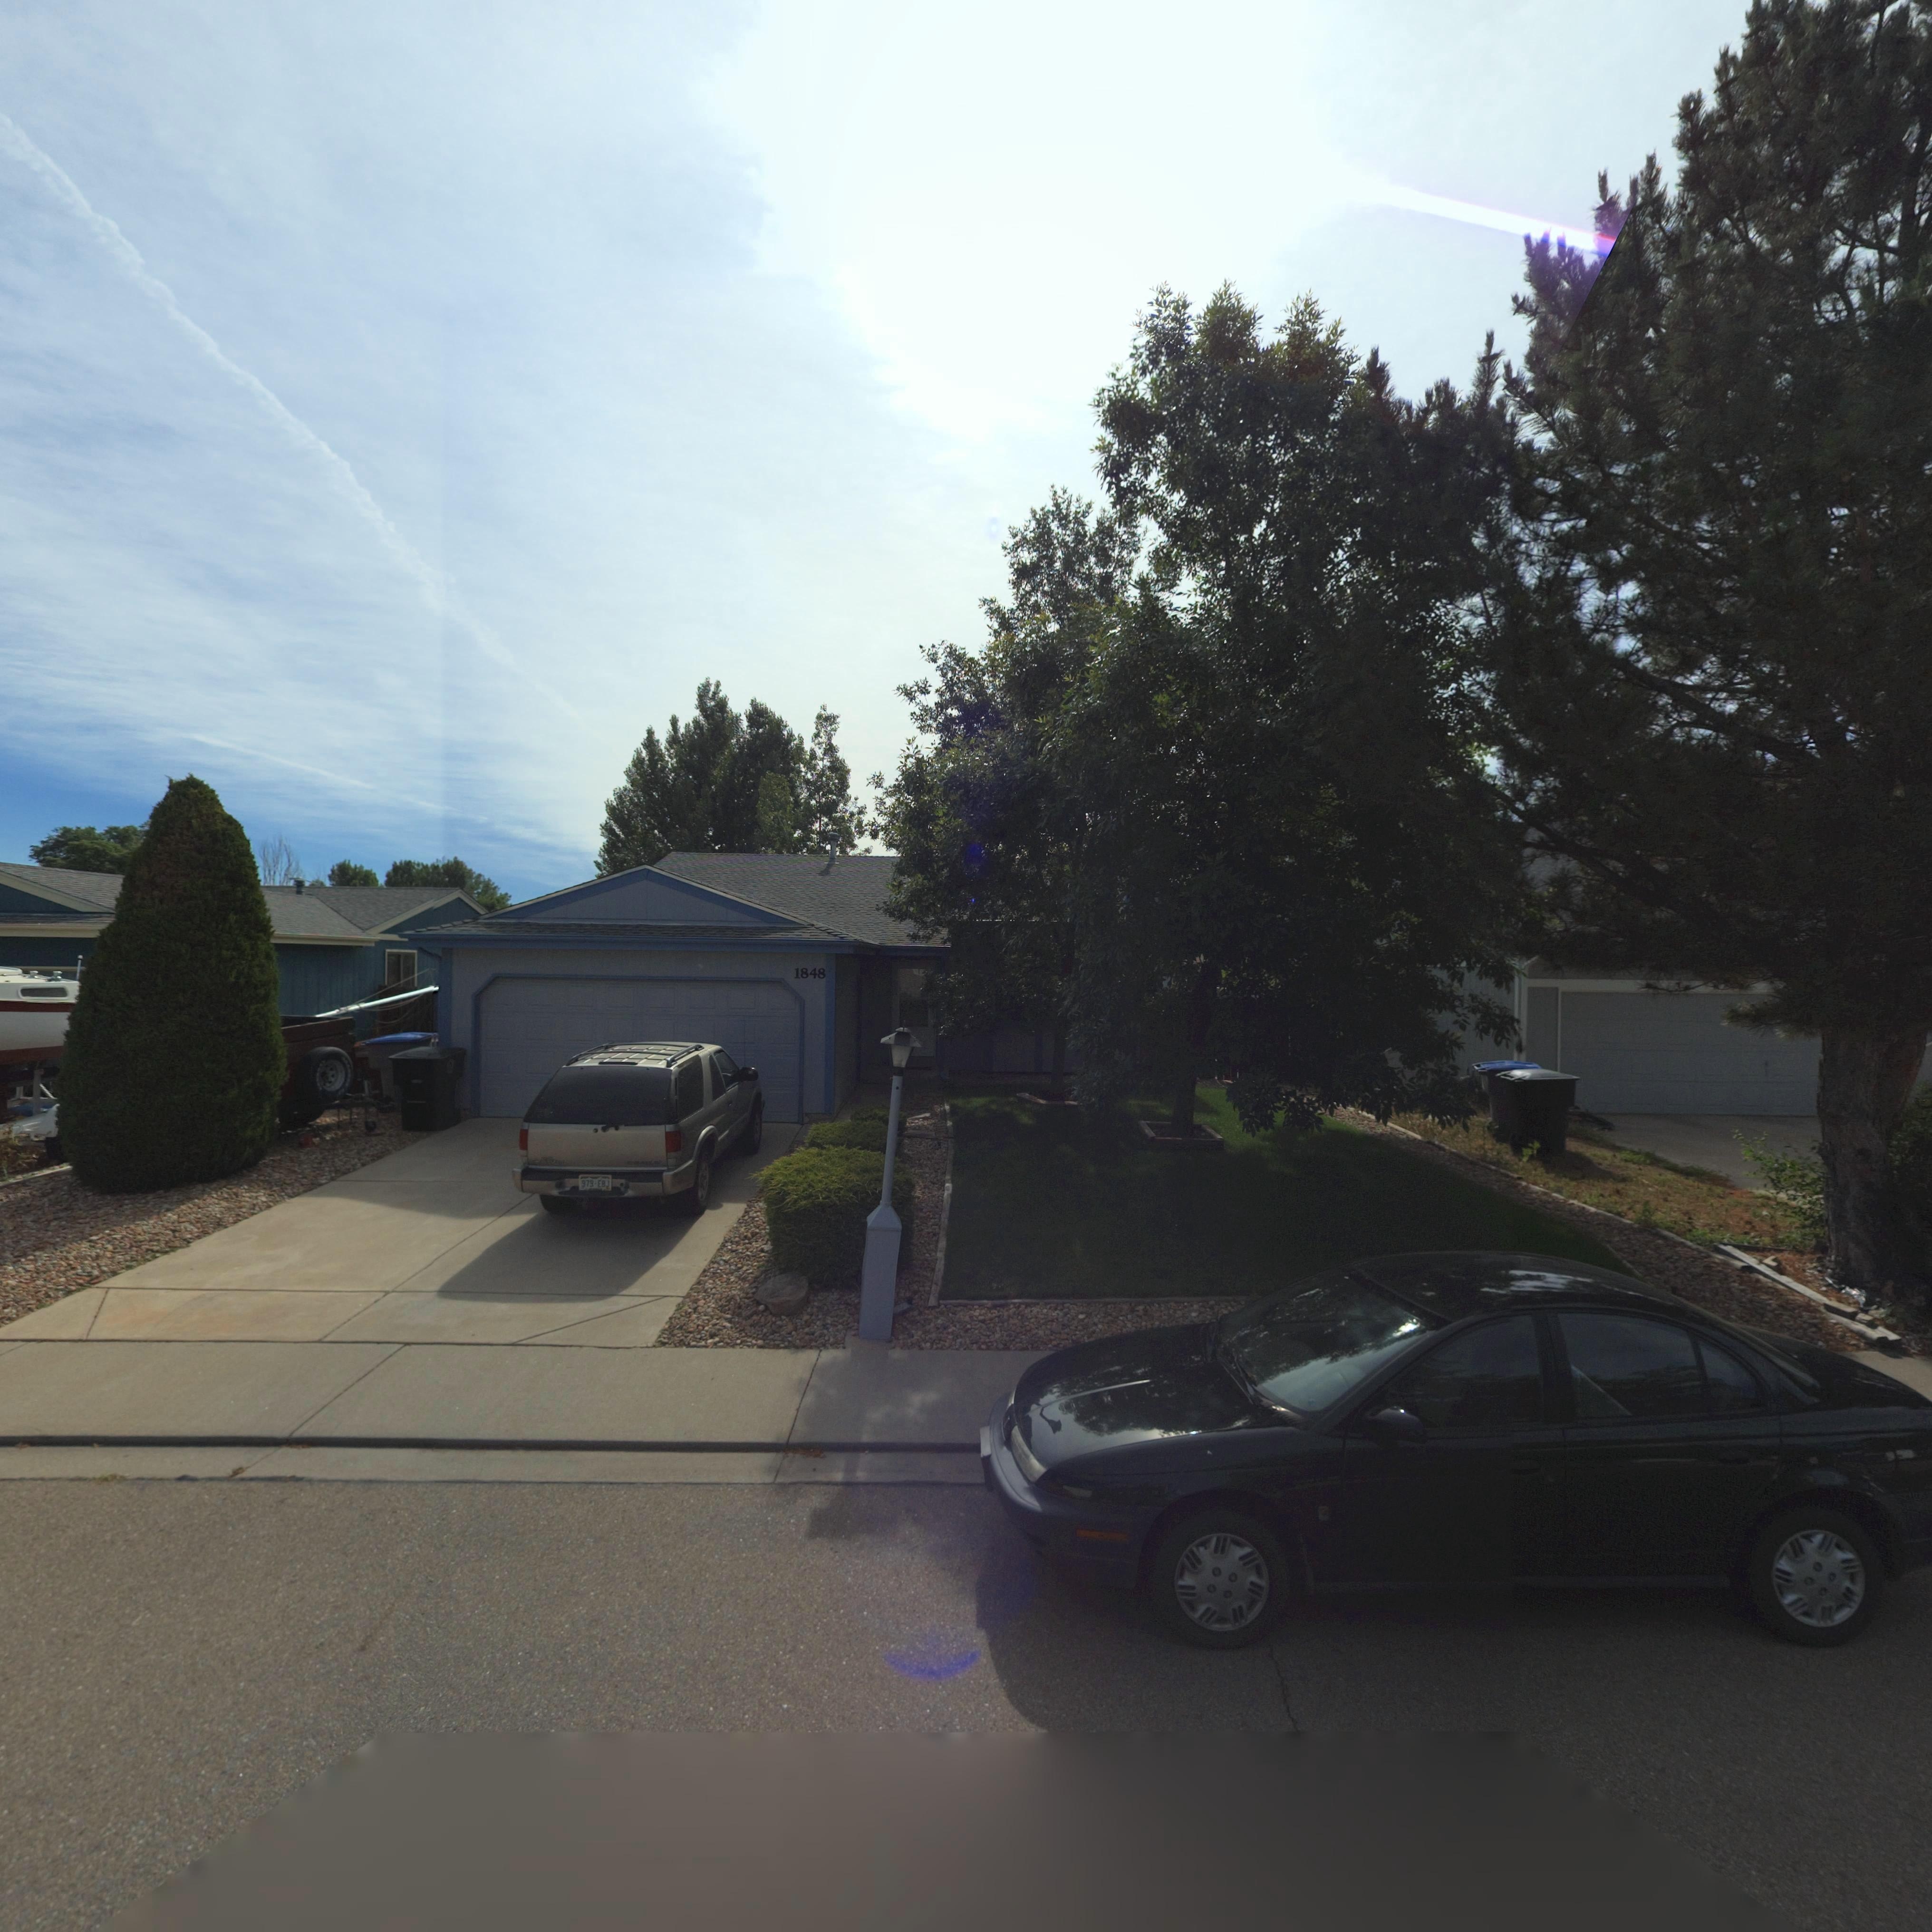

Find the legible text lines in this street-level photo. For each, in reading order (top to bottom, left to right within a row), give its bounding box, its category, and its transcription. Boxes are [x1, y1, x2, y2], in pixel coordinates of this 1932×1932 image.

[793, 966, 827, 979] StreetNumber: 1848